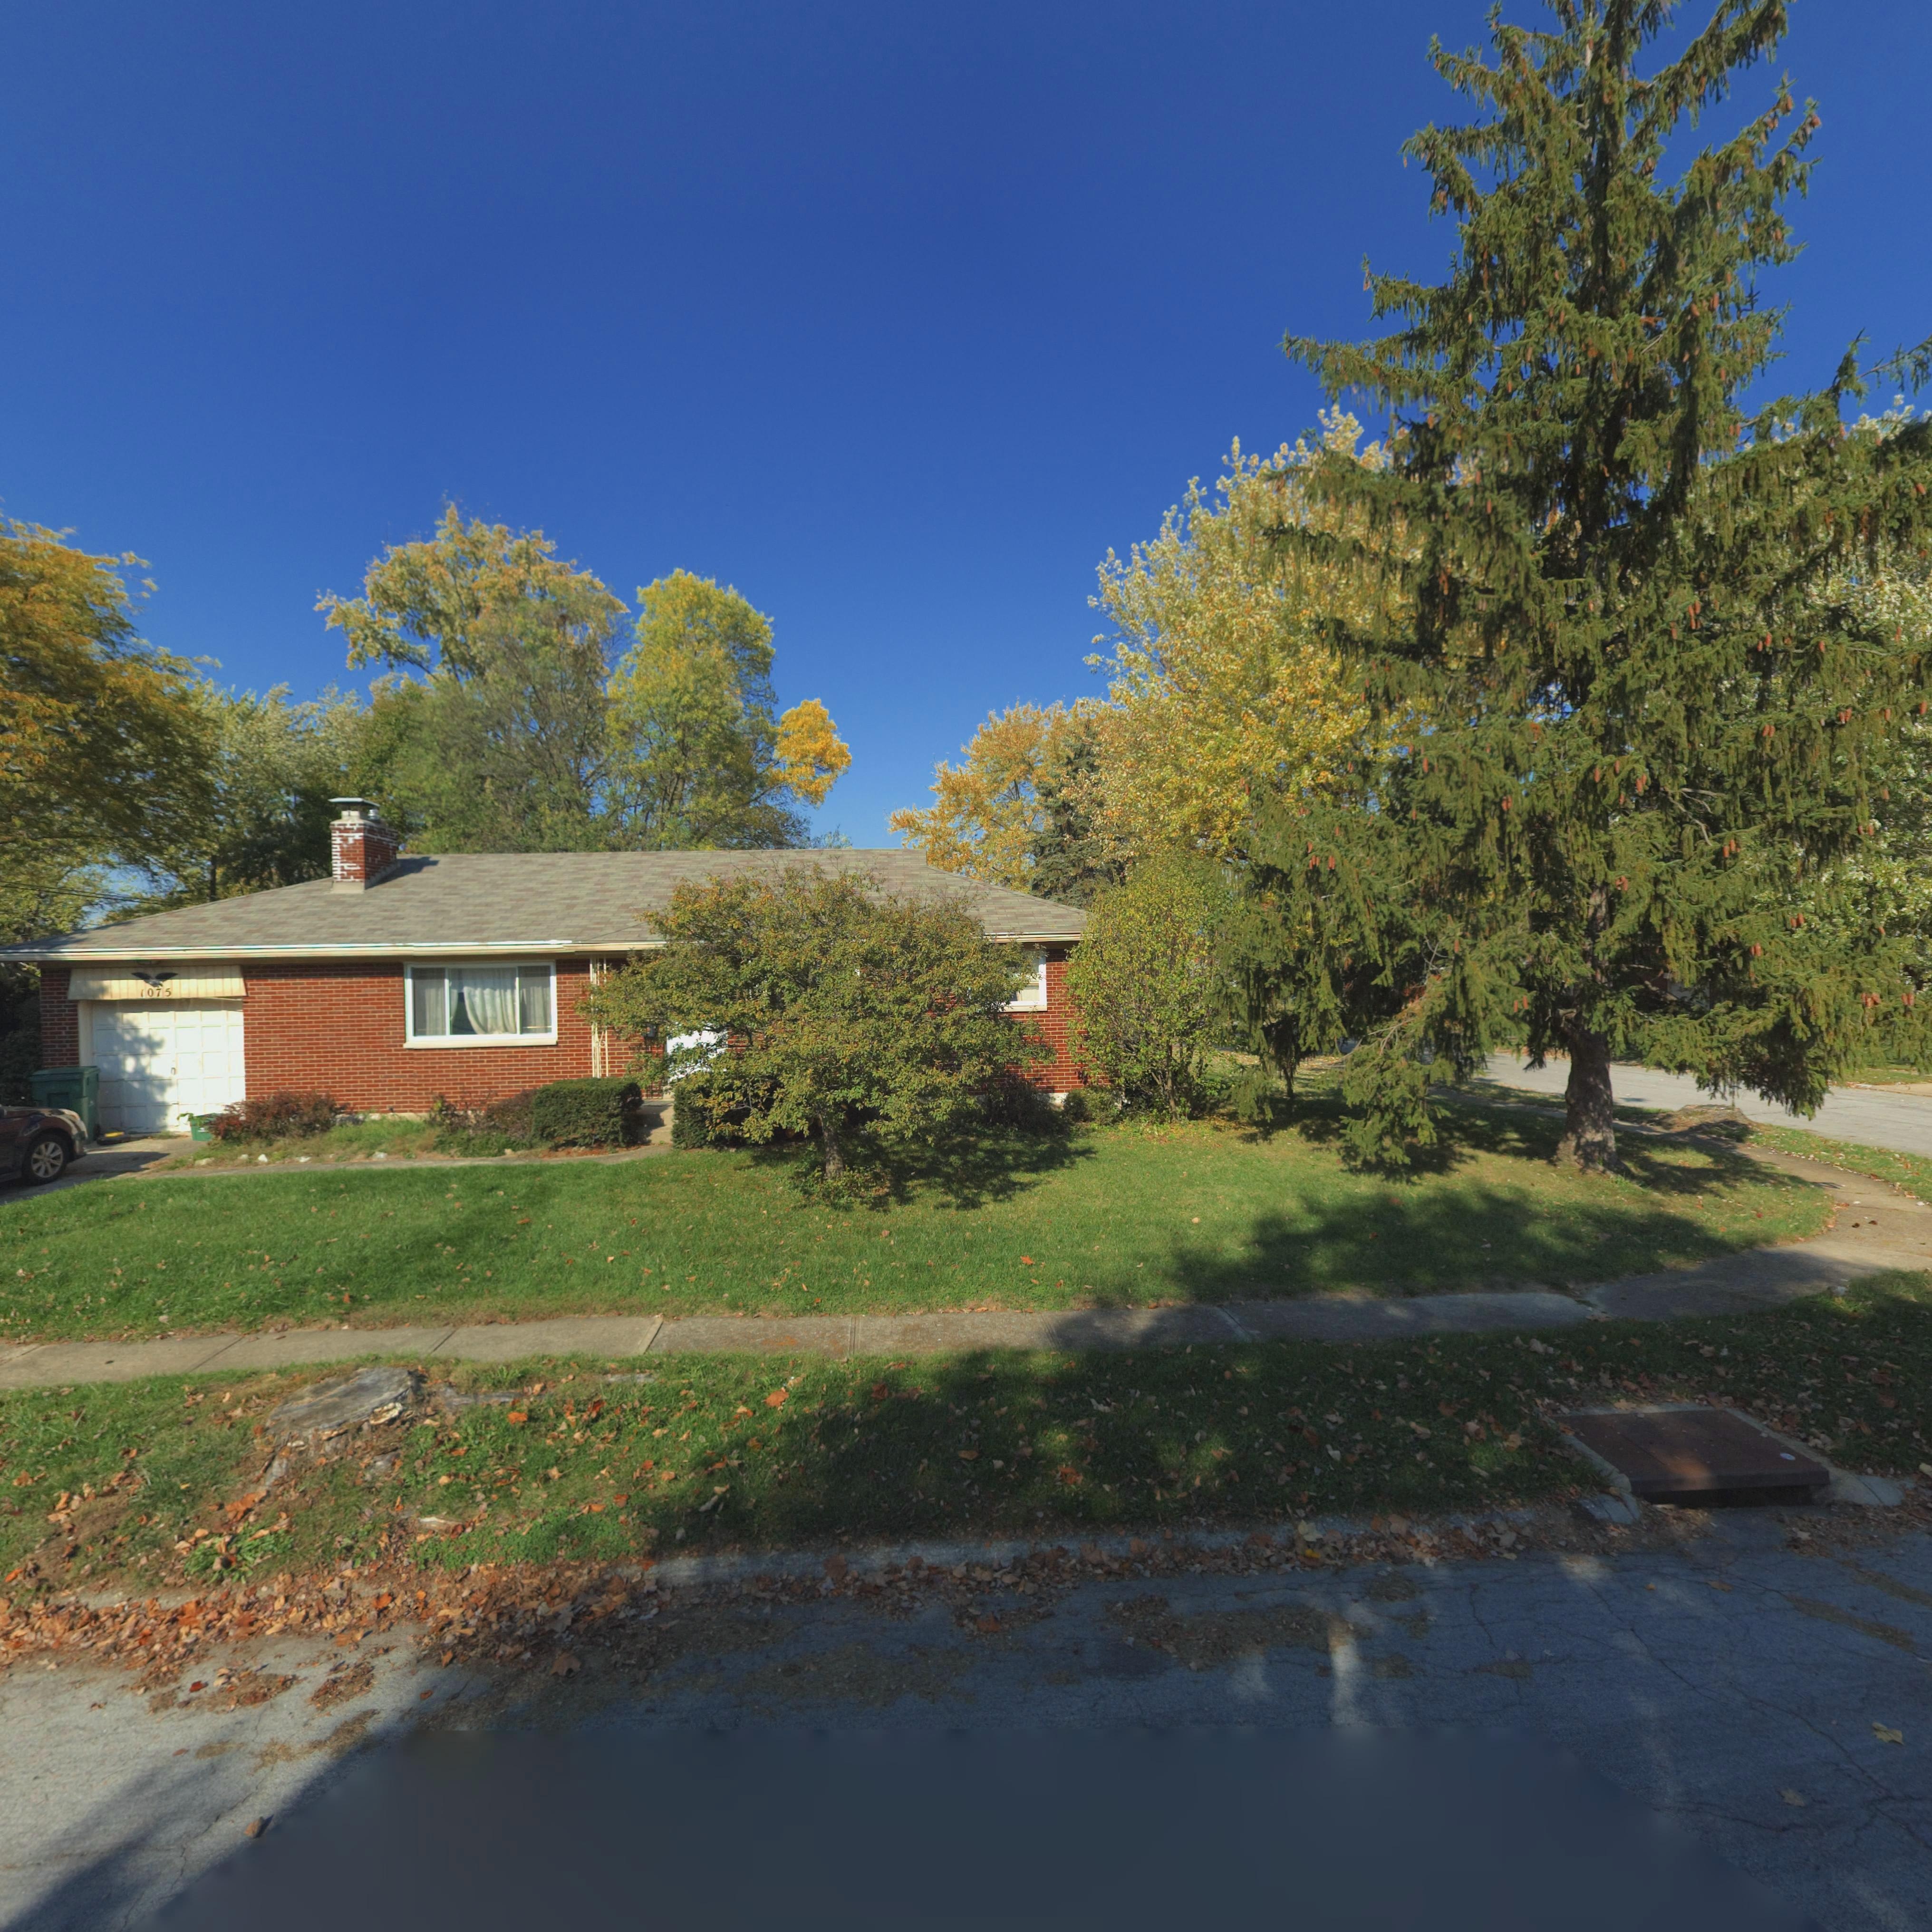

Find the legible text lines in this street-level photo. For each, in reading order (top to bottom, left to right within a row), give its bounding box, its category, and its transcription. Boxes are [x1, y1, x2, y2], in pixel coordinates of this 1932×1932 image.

[139, 987, 172, 997] StreetNumber: 1075